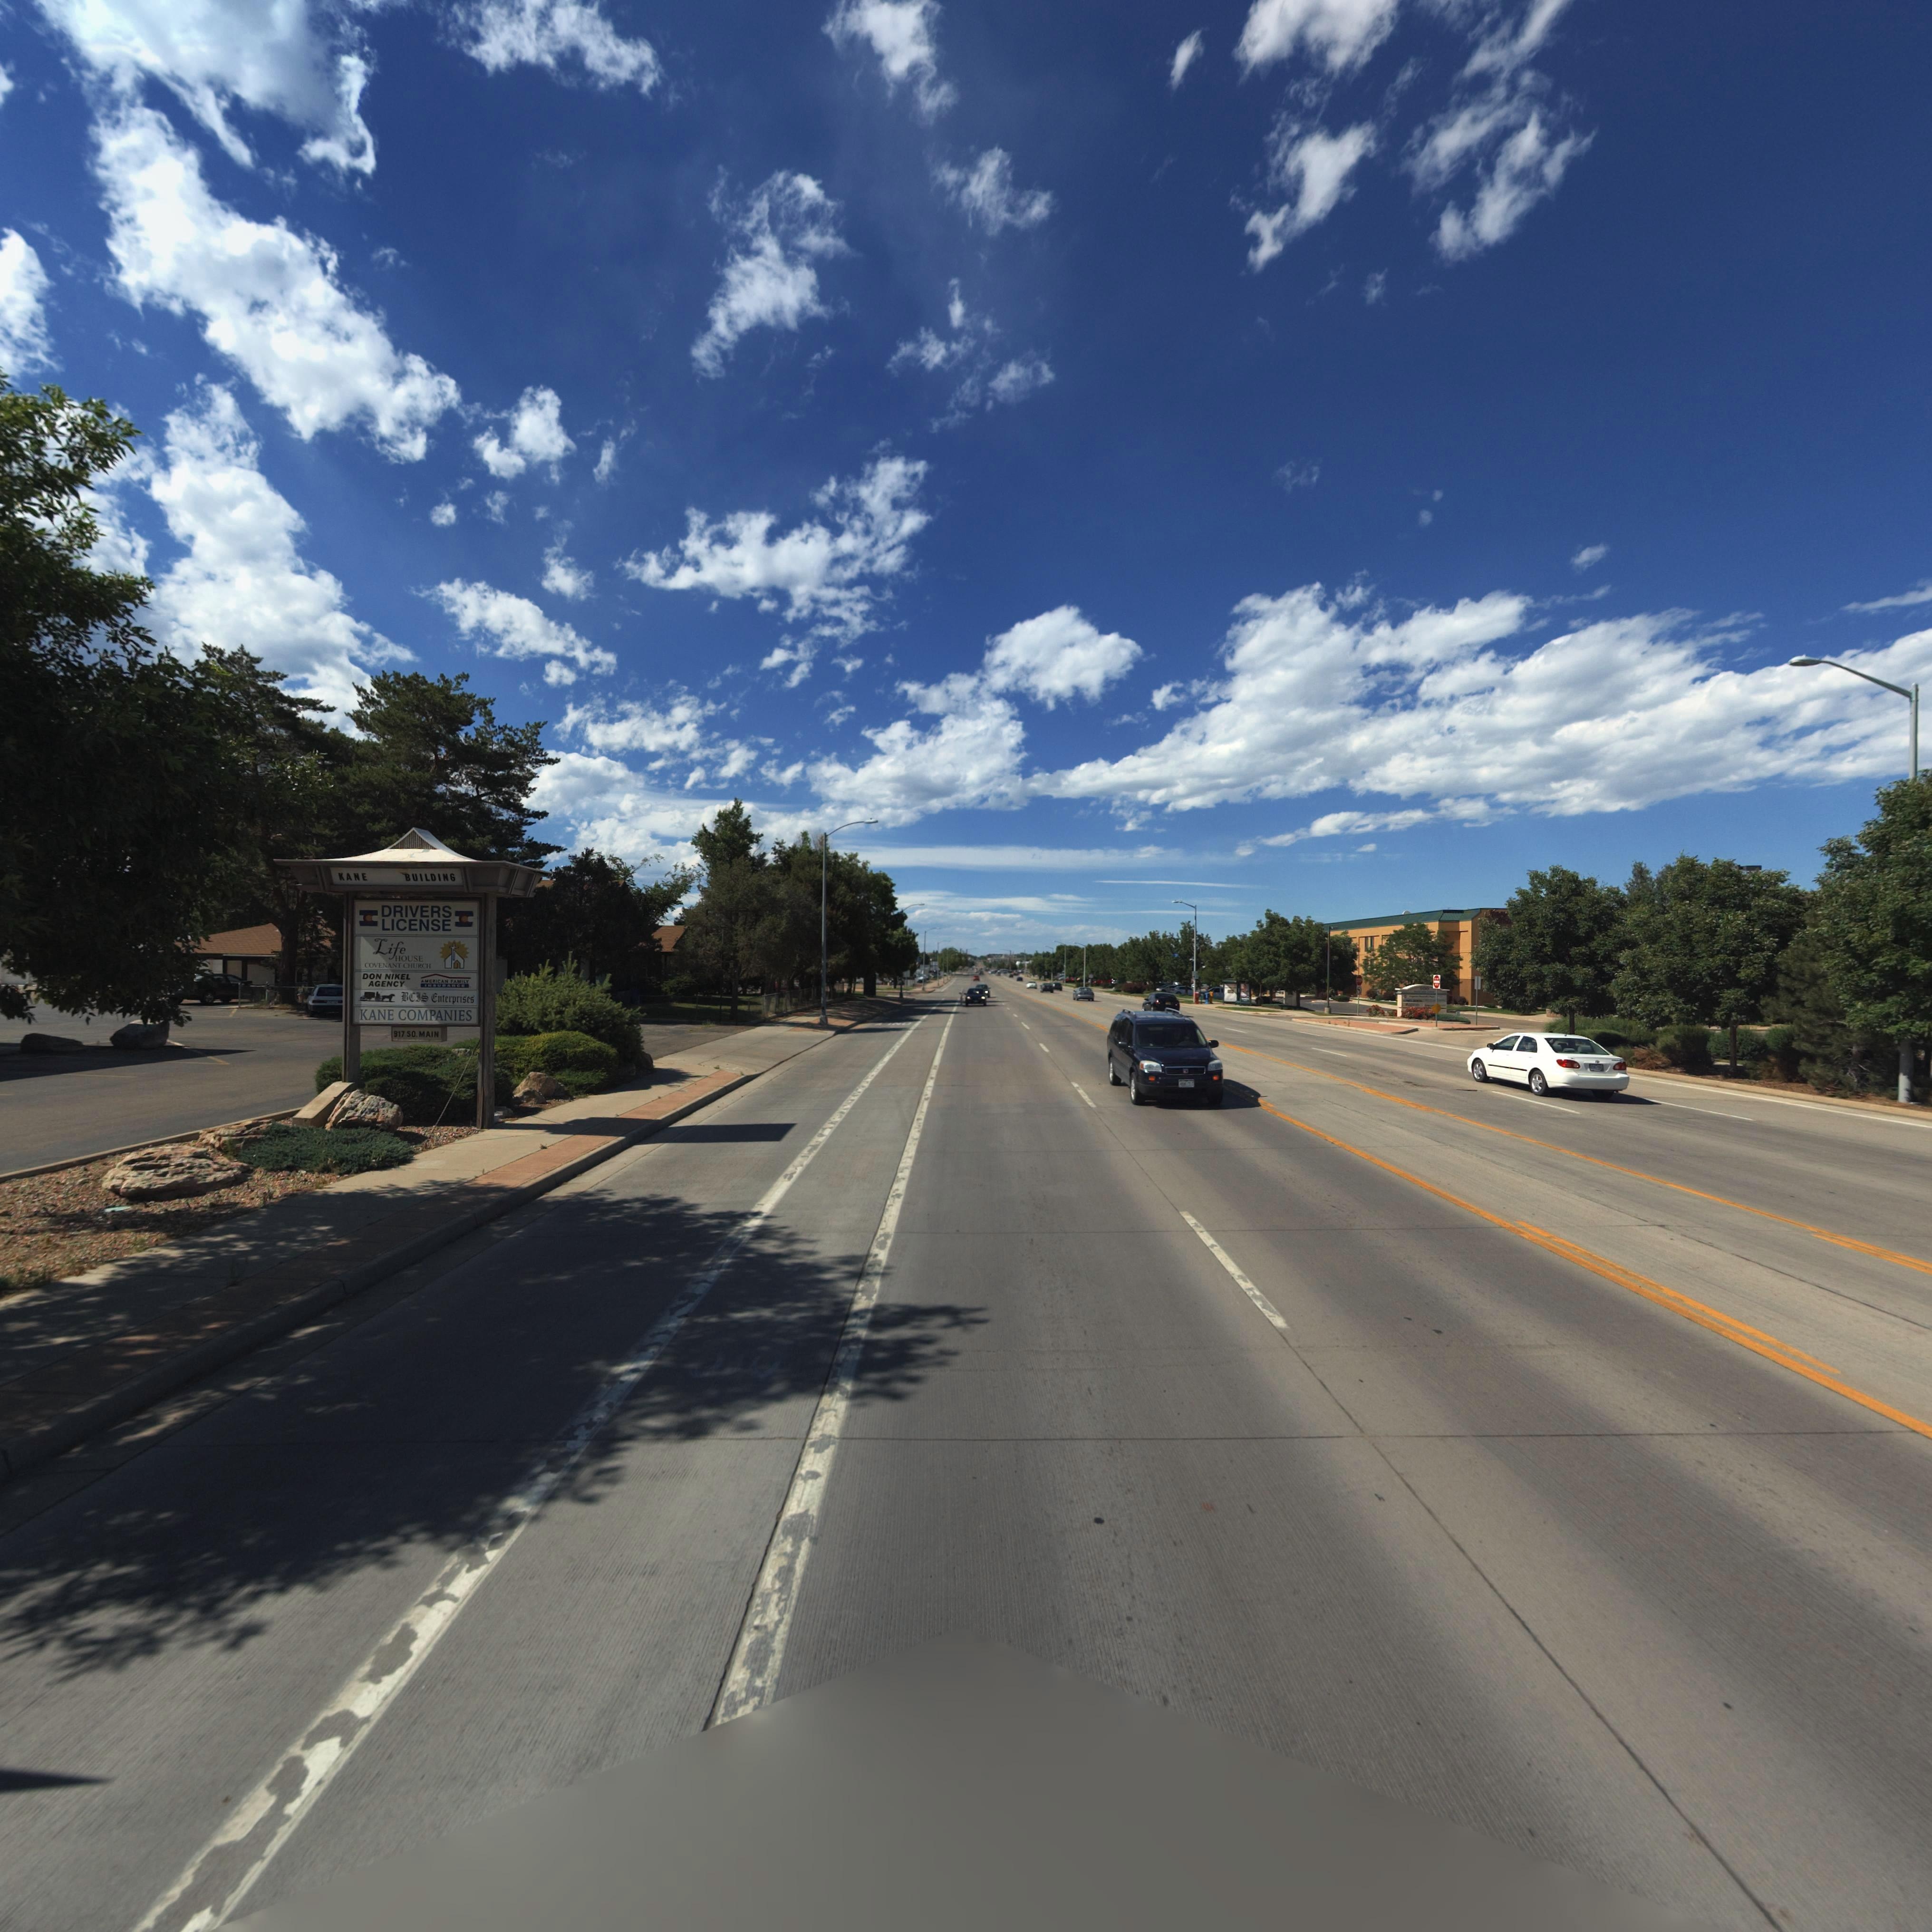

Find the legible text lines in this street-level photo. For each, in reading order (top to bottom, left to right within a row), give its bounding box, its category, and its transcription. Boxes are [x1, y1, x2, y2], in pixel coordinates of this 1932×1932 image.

[337, 872, 456, 882] BusinessName: KANE BUILDING
[371, 937, 407, 960] BusinessName: Life
[395, 955, 424, 962] BusinessName: HOUSE
[364, 962, 431, 969] BusinessName: COVENANT CHURCH
[420, 979, 469, 984] BusinessName: AMERICAN FAMILY
[424, 984, 465, 987] BusinessName: INSURANCE
[1419, 985, 1429, 991] StreetNumber: 900
[401, 991, 474, 1005] BusinessName: BCIS Enterprises
[393, 1030, 406, 1038] StreetNumber: 917
[406, 1030, 439, 1038] StreetName: SO. MAIN